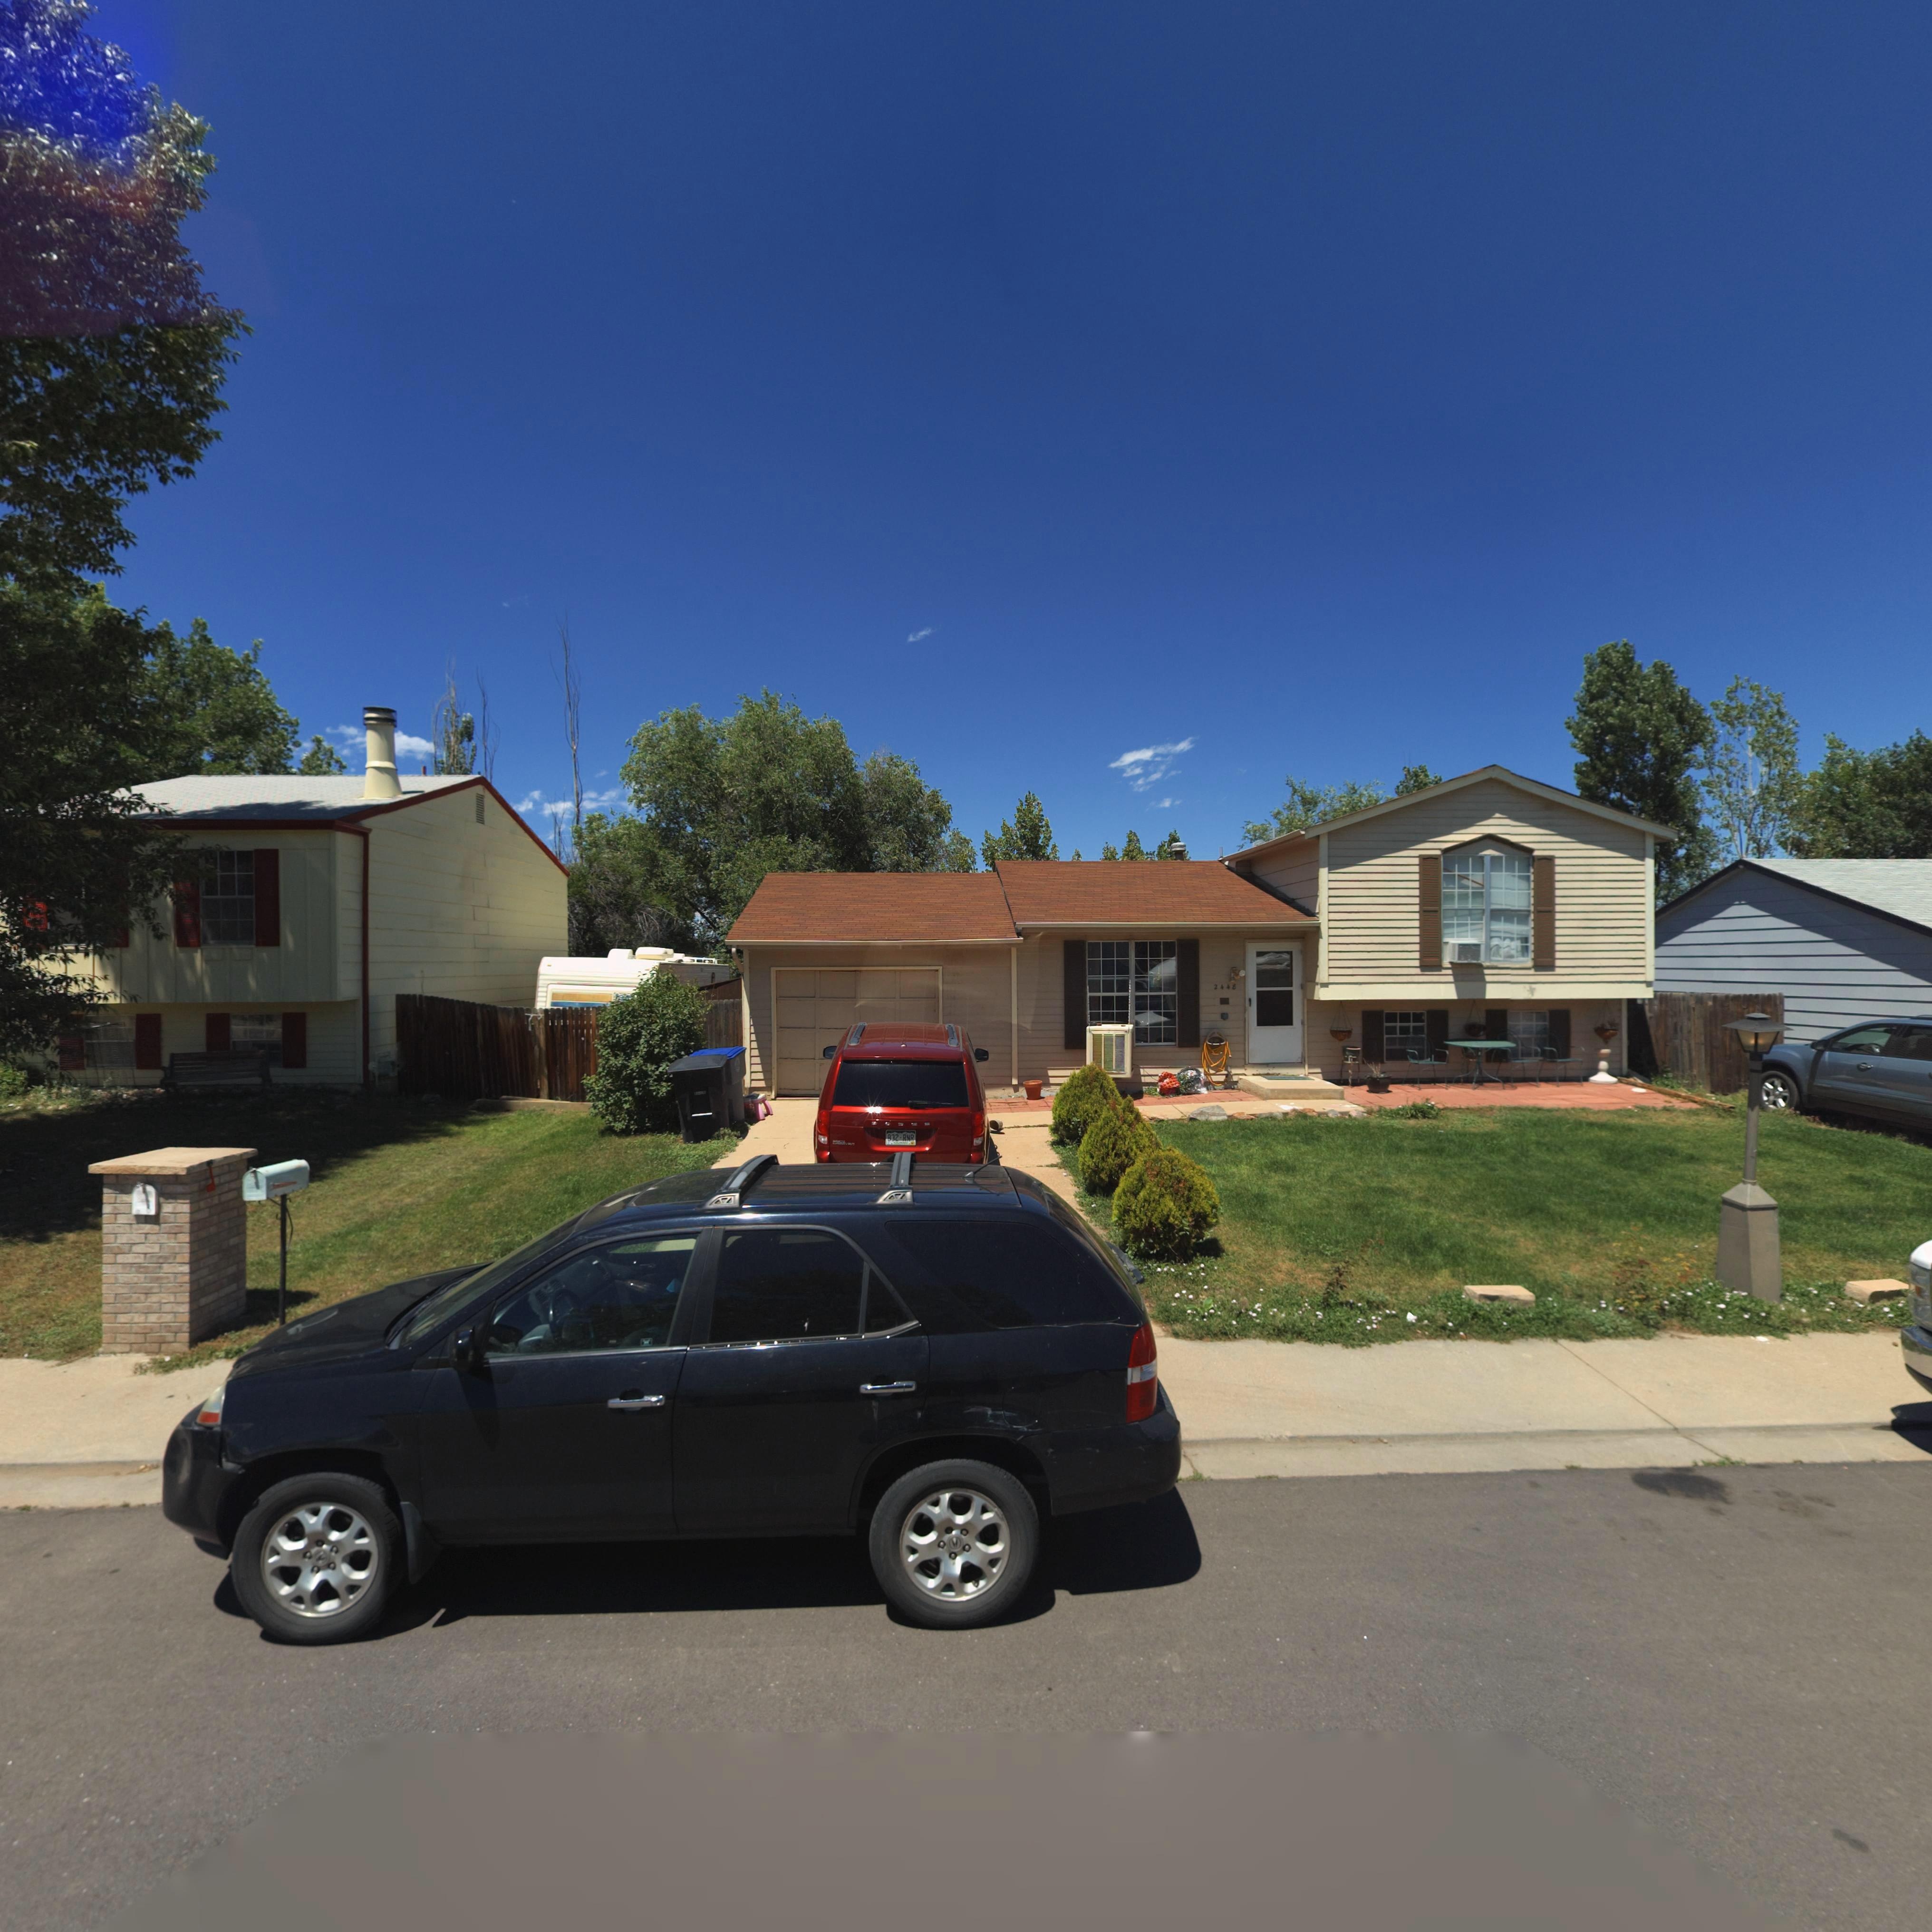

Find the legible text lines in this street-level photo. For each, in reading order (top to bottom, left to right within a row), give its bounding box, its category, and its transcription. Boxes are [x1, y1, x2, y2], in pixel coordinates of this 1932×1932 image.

[1213, 983, 1236, 990] StreetNumber: 2448